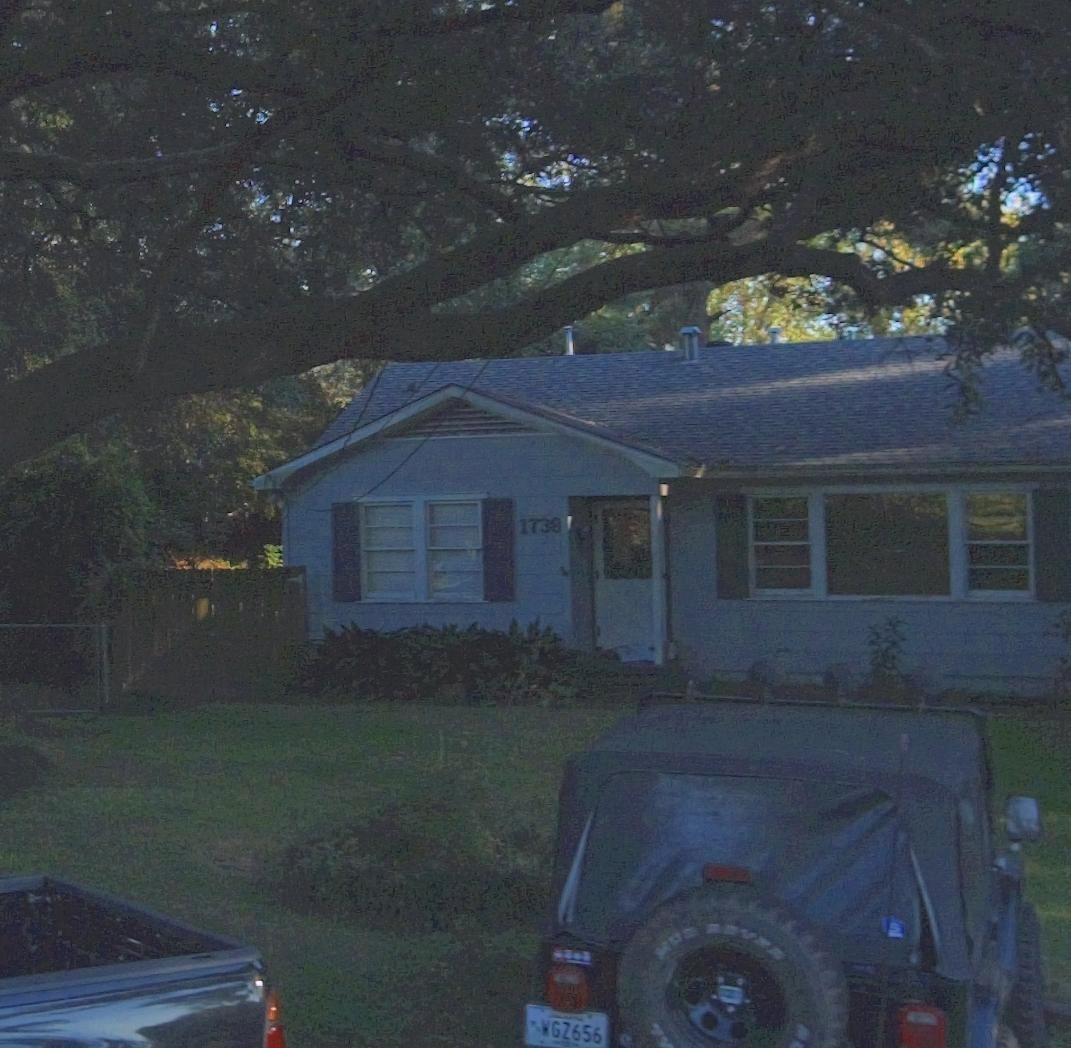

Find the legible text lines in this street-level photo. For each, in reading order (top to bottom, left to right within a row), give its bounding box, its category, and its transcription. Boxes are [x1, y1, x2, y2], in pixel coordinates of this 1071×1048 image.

[518, 515, 564, 536] StreetNumber: 1738
[538, 1014, 605, 1047] None: WGZ656